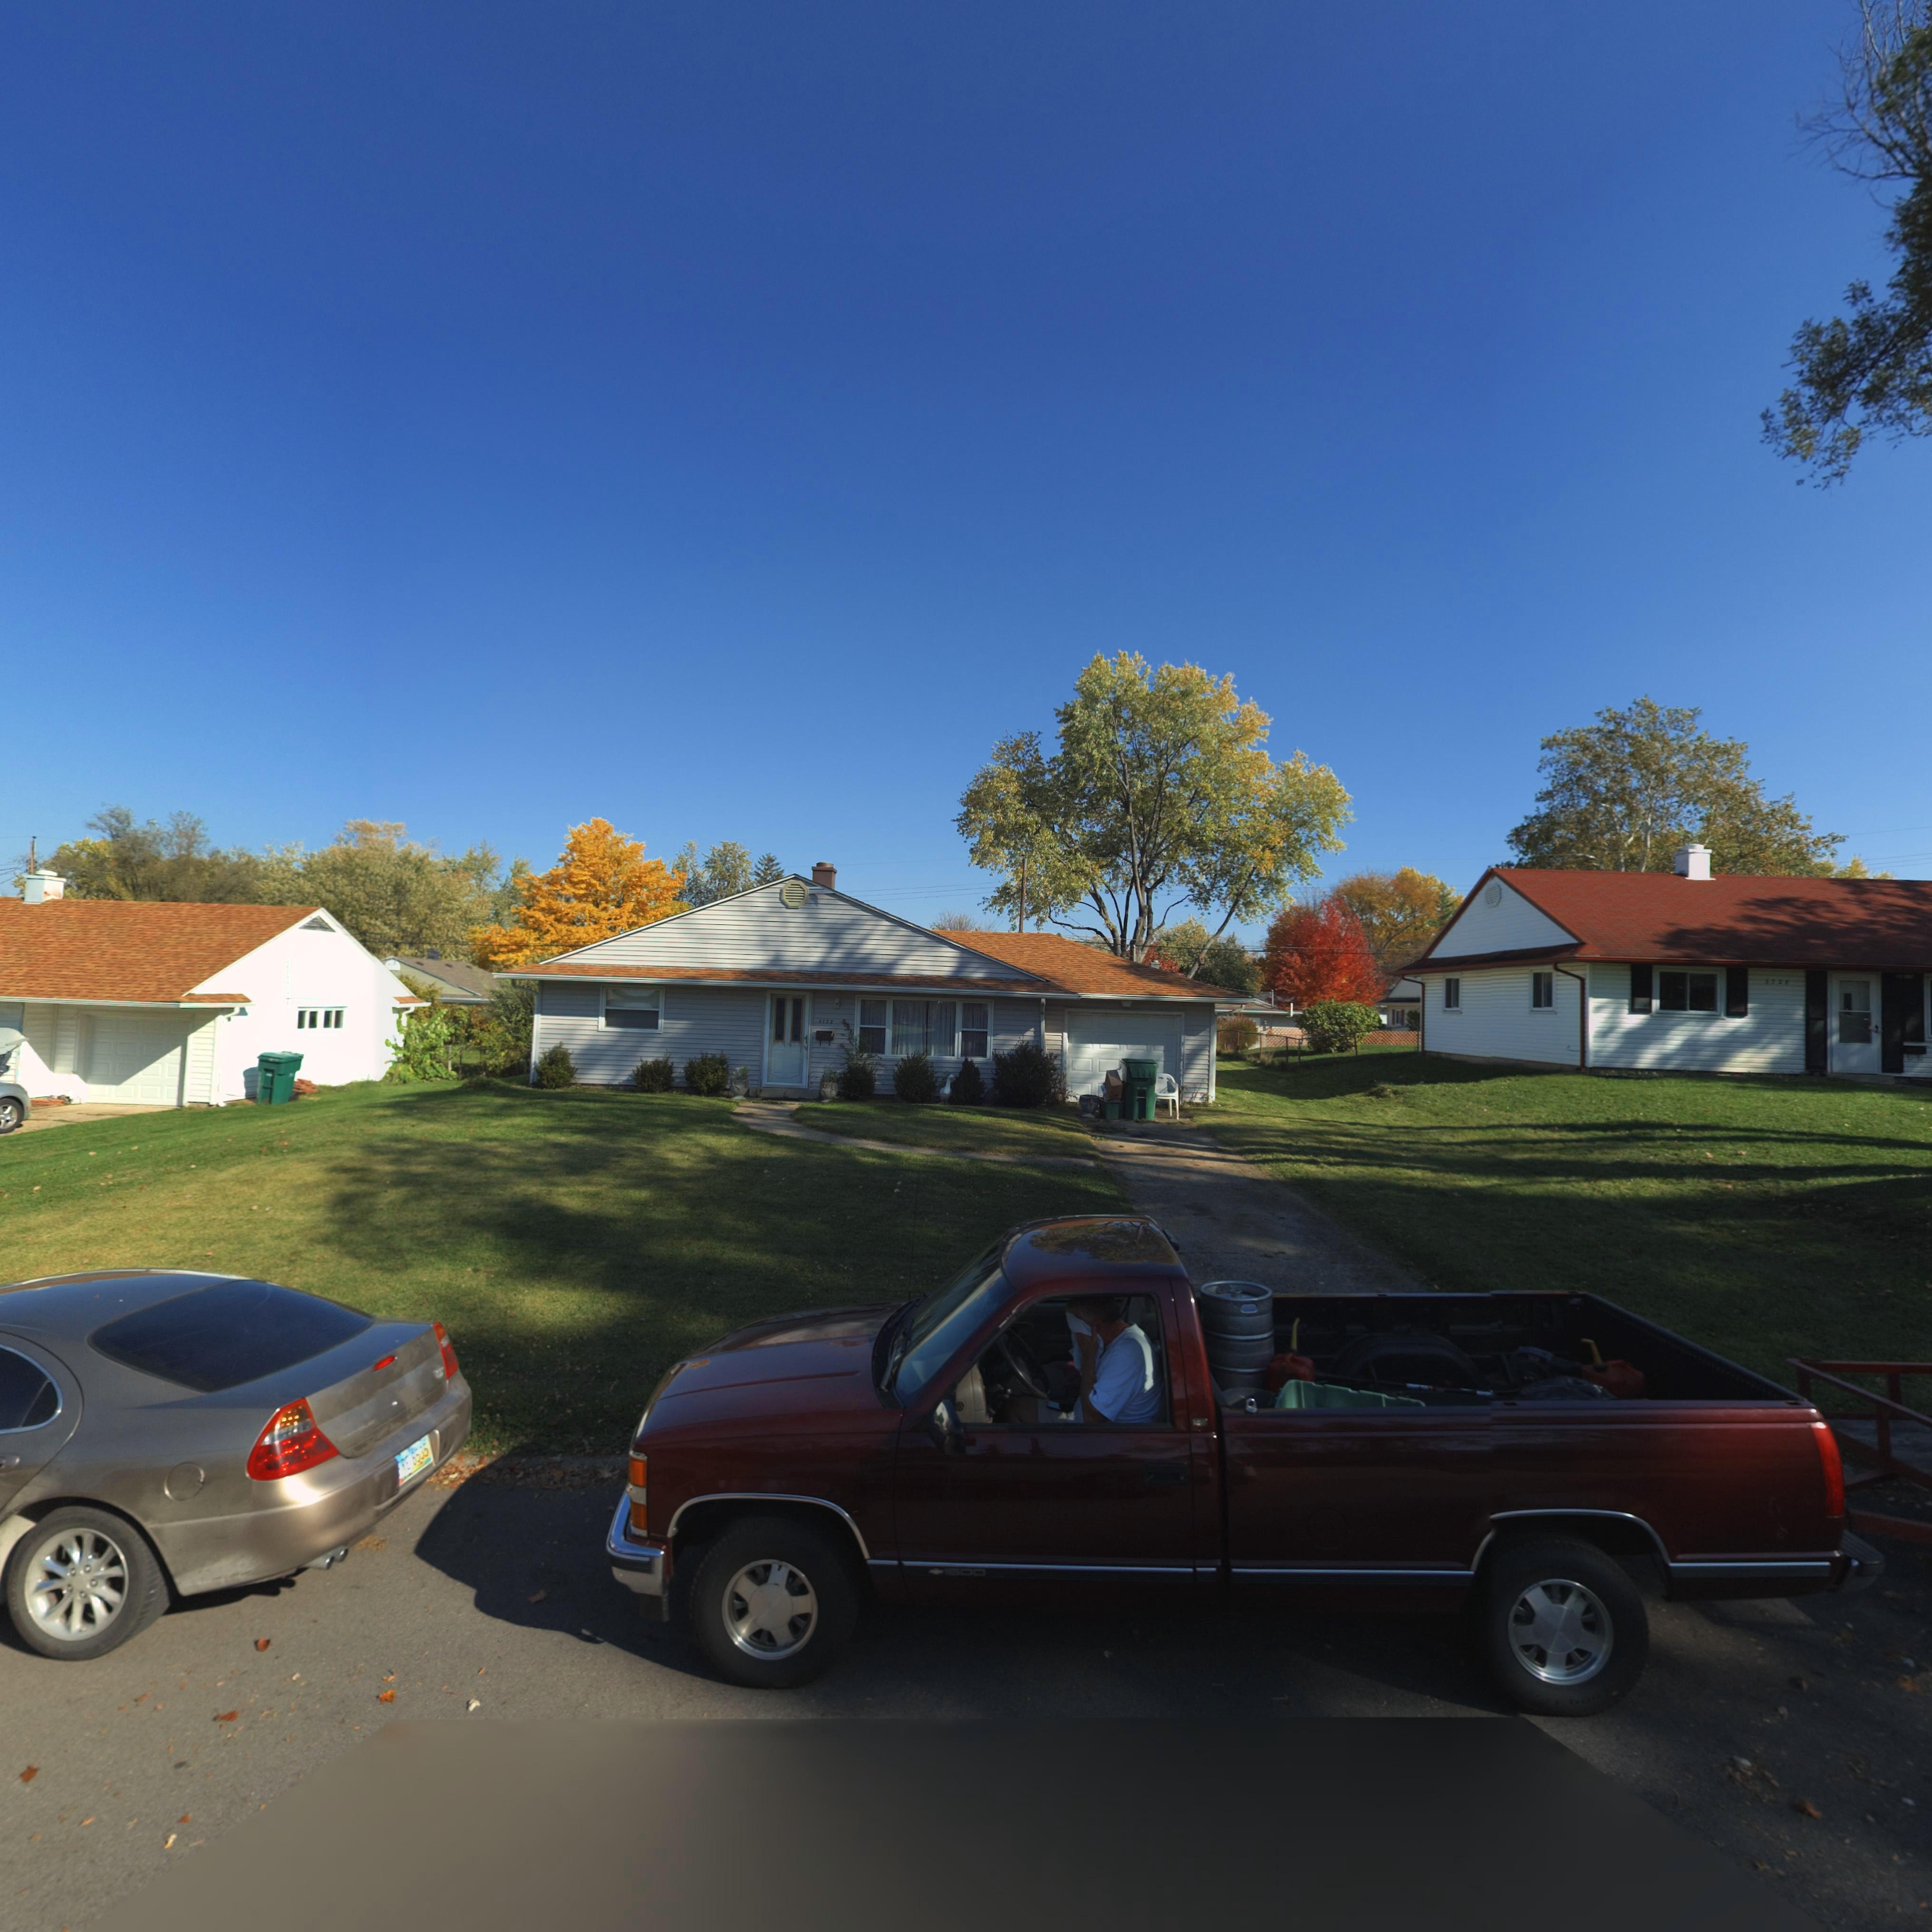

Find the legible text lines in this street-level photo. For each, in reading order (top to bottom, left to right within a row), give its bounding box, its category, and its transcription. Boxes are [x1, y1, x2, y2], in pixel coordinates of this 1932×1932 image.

[818, 1019, 833, 1024] StreetNumber: 3722